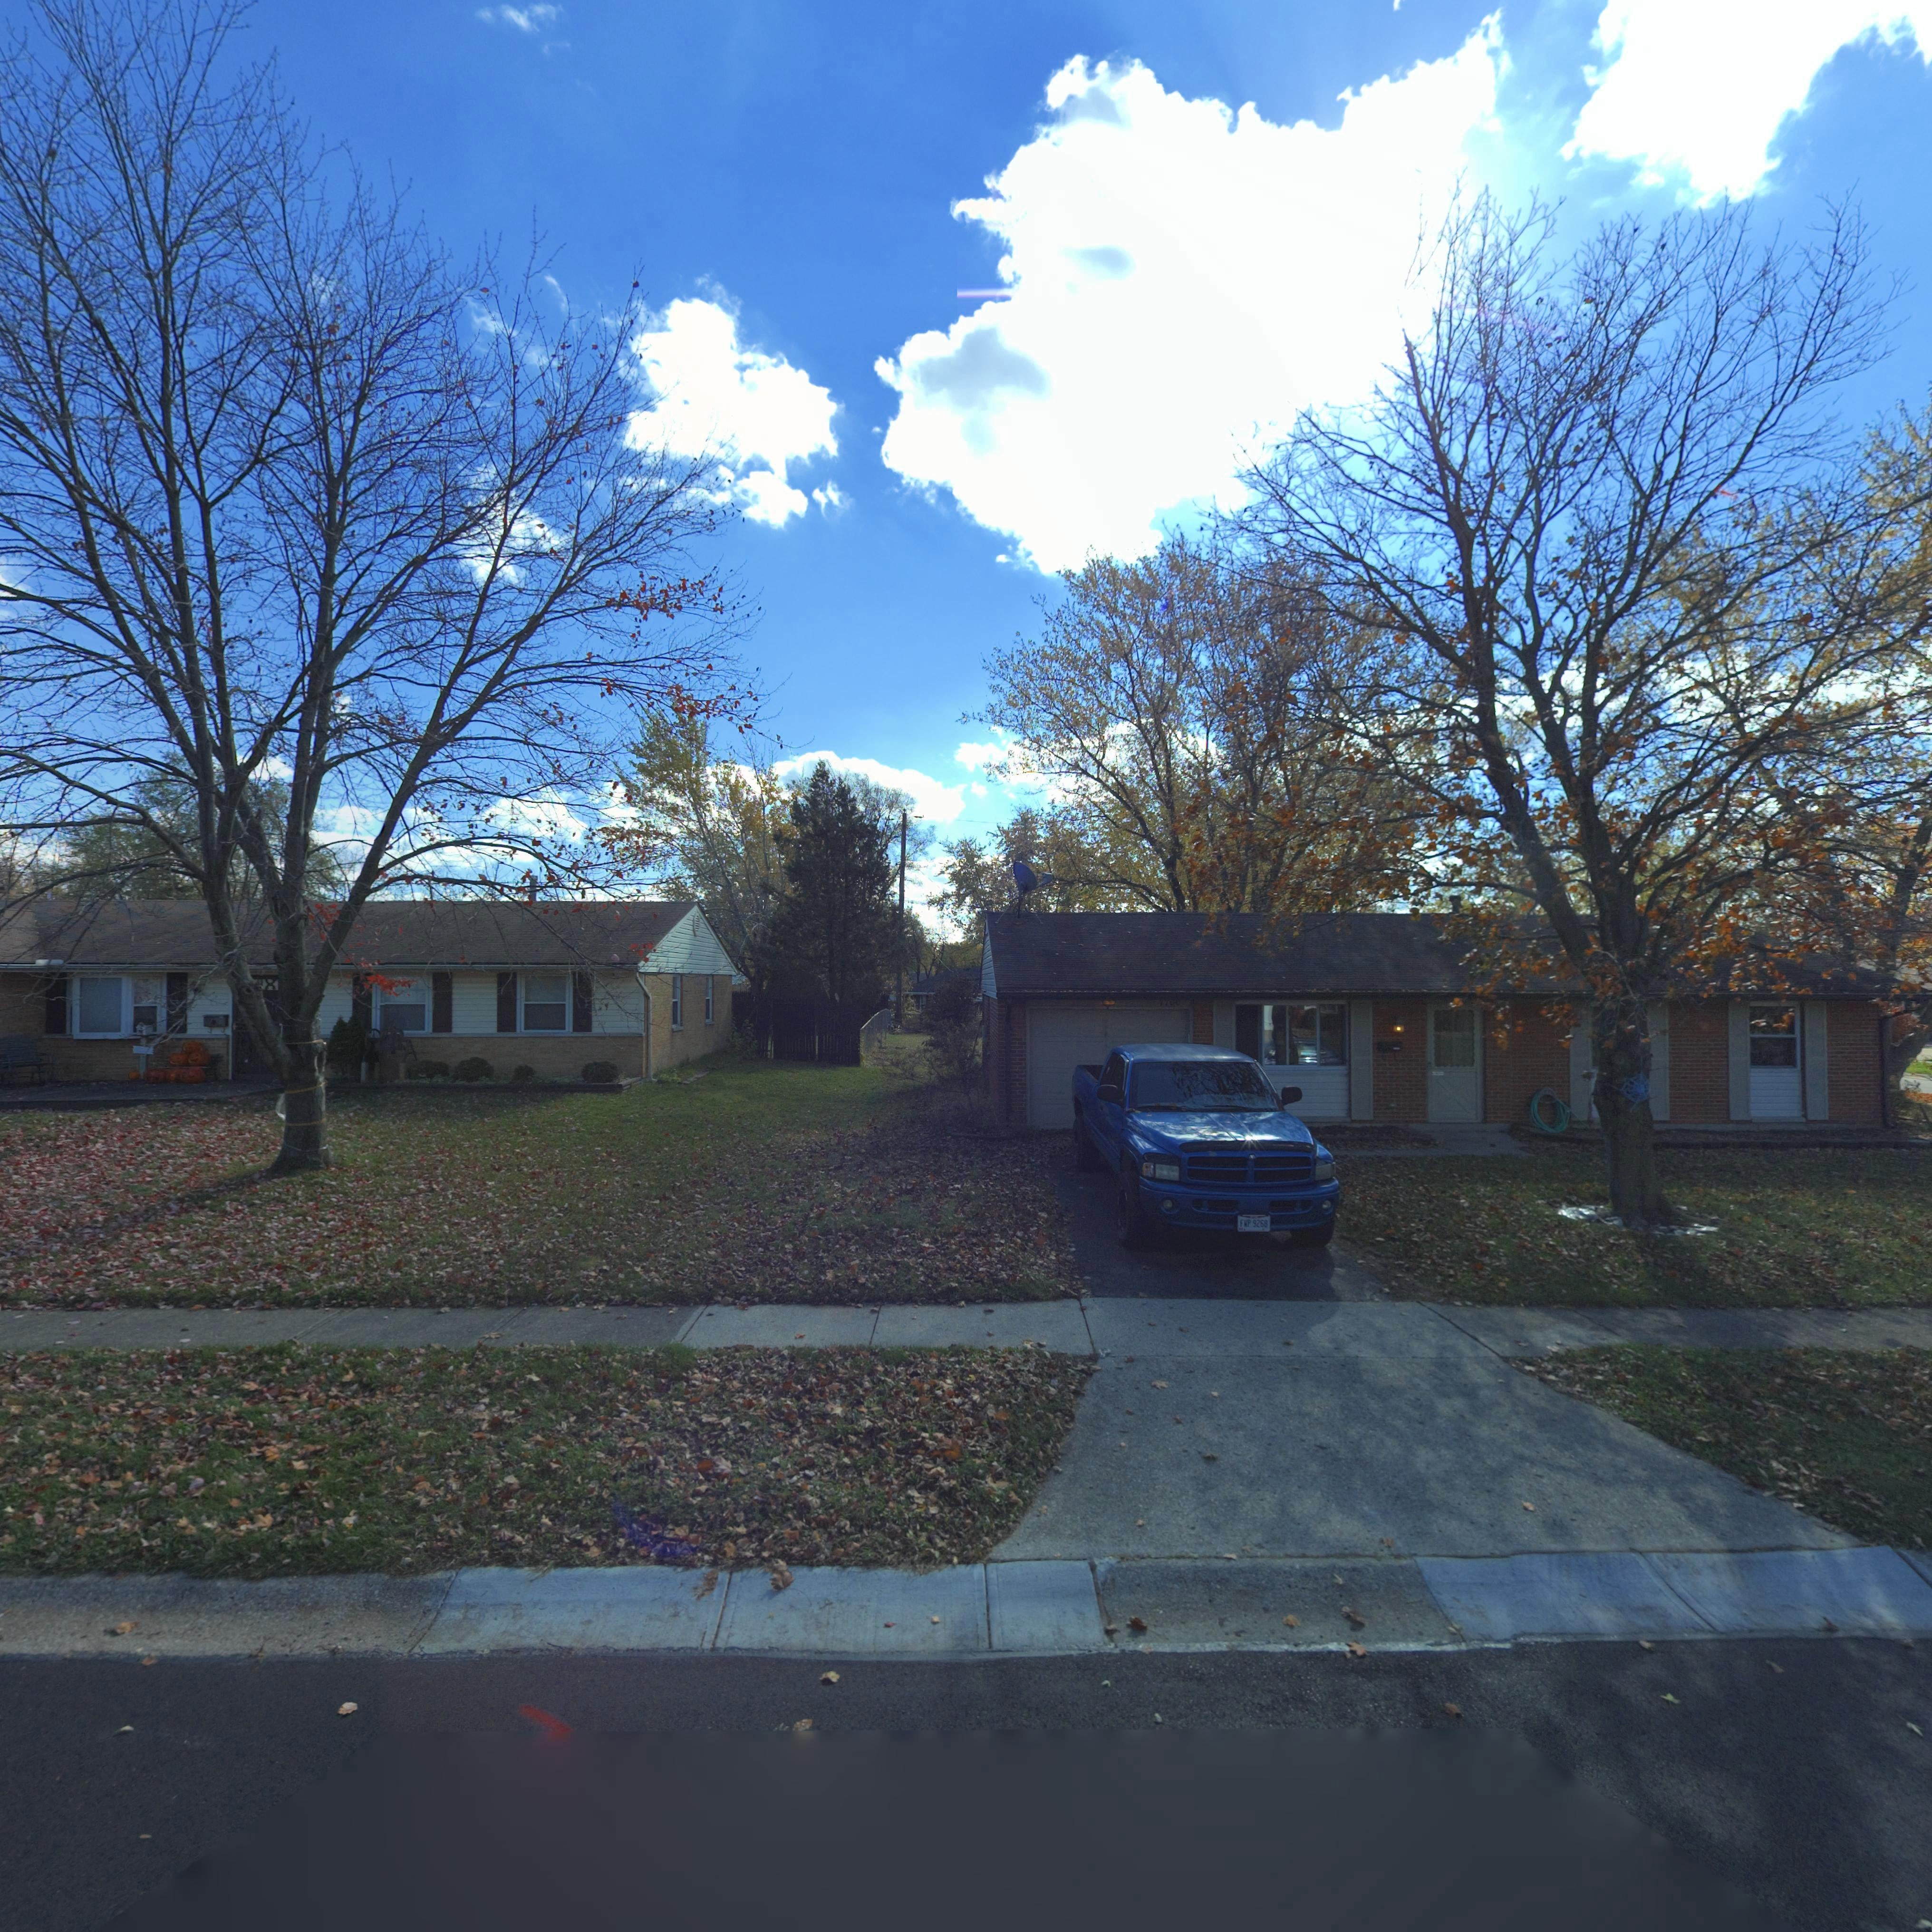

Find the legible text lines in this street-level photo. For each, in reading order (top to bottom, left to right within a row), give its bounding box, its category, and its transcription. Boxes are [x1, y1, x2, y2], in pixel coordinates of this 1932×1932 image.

[1158, 998, 1181, 1006] StreetNumber: 770*